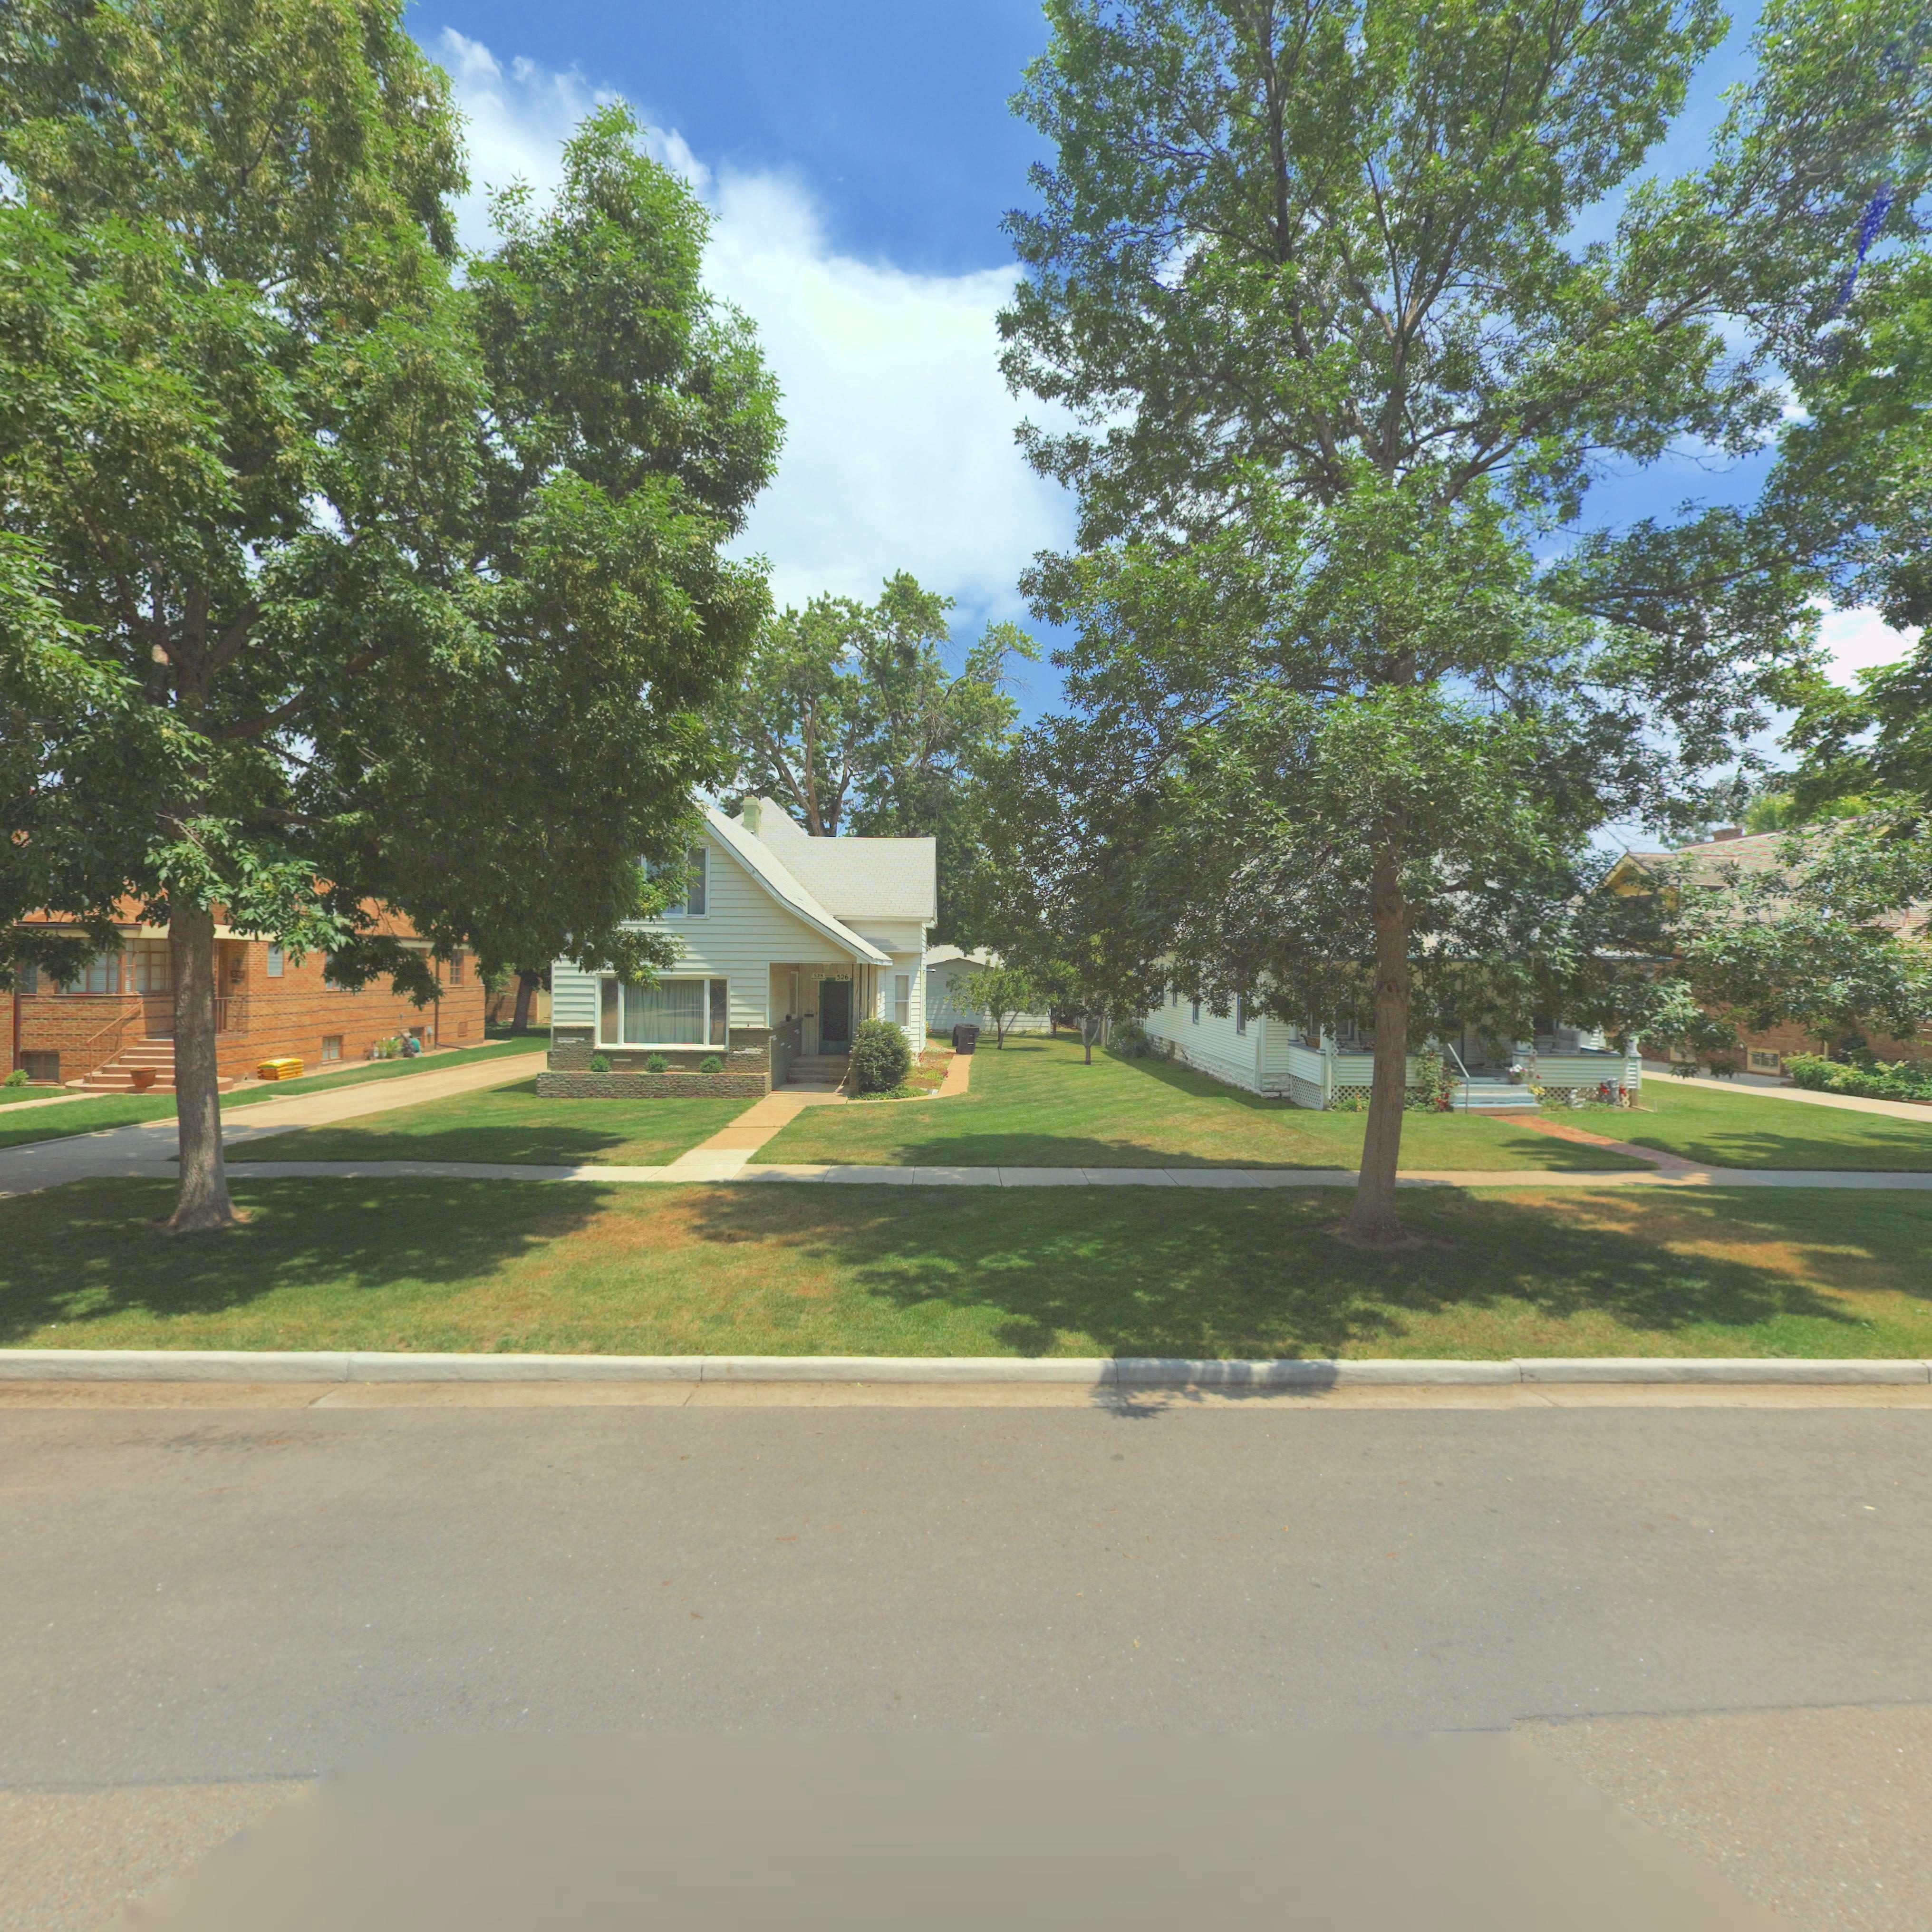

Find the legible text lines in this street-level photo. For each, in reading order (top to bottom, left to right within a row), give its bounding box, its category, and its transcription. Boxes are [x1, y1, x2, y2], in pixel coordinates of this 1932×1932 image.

[813, 973, 823, 978] StreetNumber: 528
[836, 974, 849, 980] StreetNumber: 526